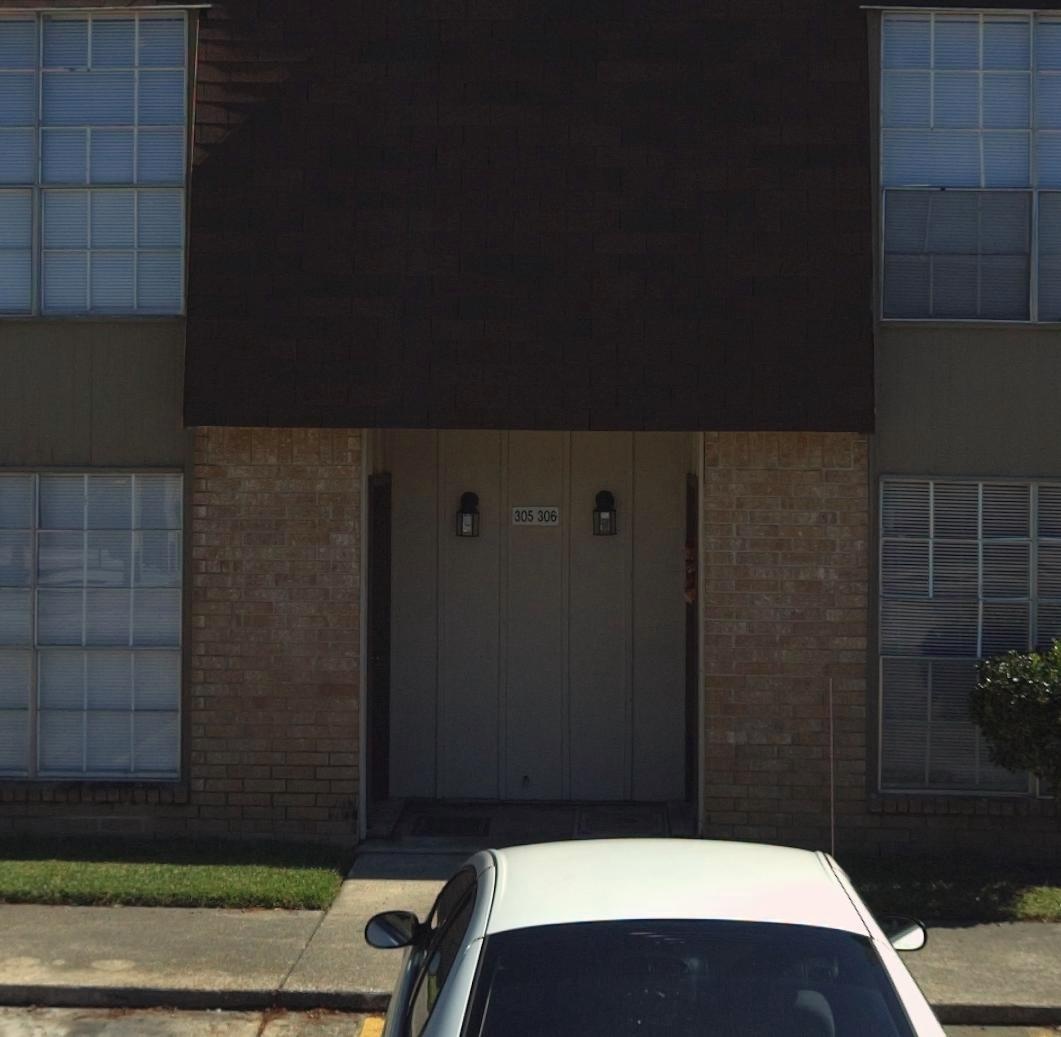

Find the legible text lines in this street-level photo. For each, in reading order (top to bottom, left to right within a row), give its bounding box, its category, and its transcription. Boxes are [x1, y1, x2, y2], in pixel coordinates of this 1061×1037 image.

[512, 508, 536, 524] StreetNumber: 305
[535, 508, 559, 524] StreetNumber: 306